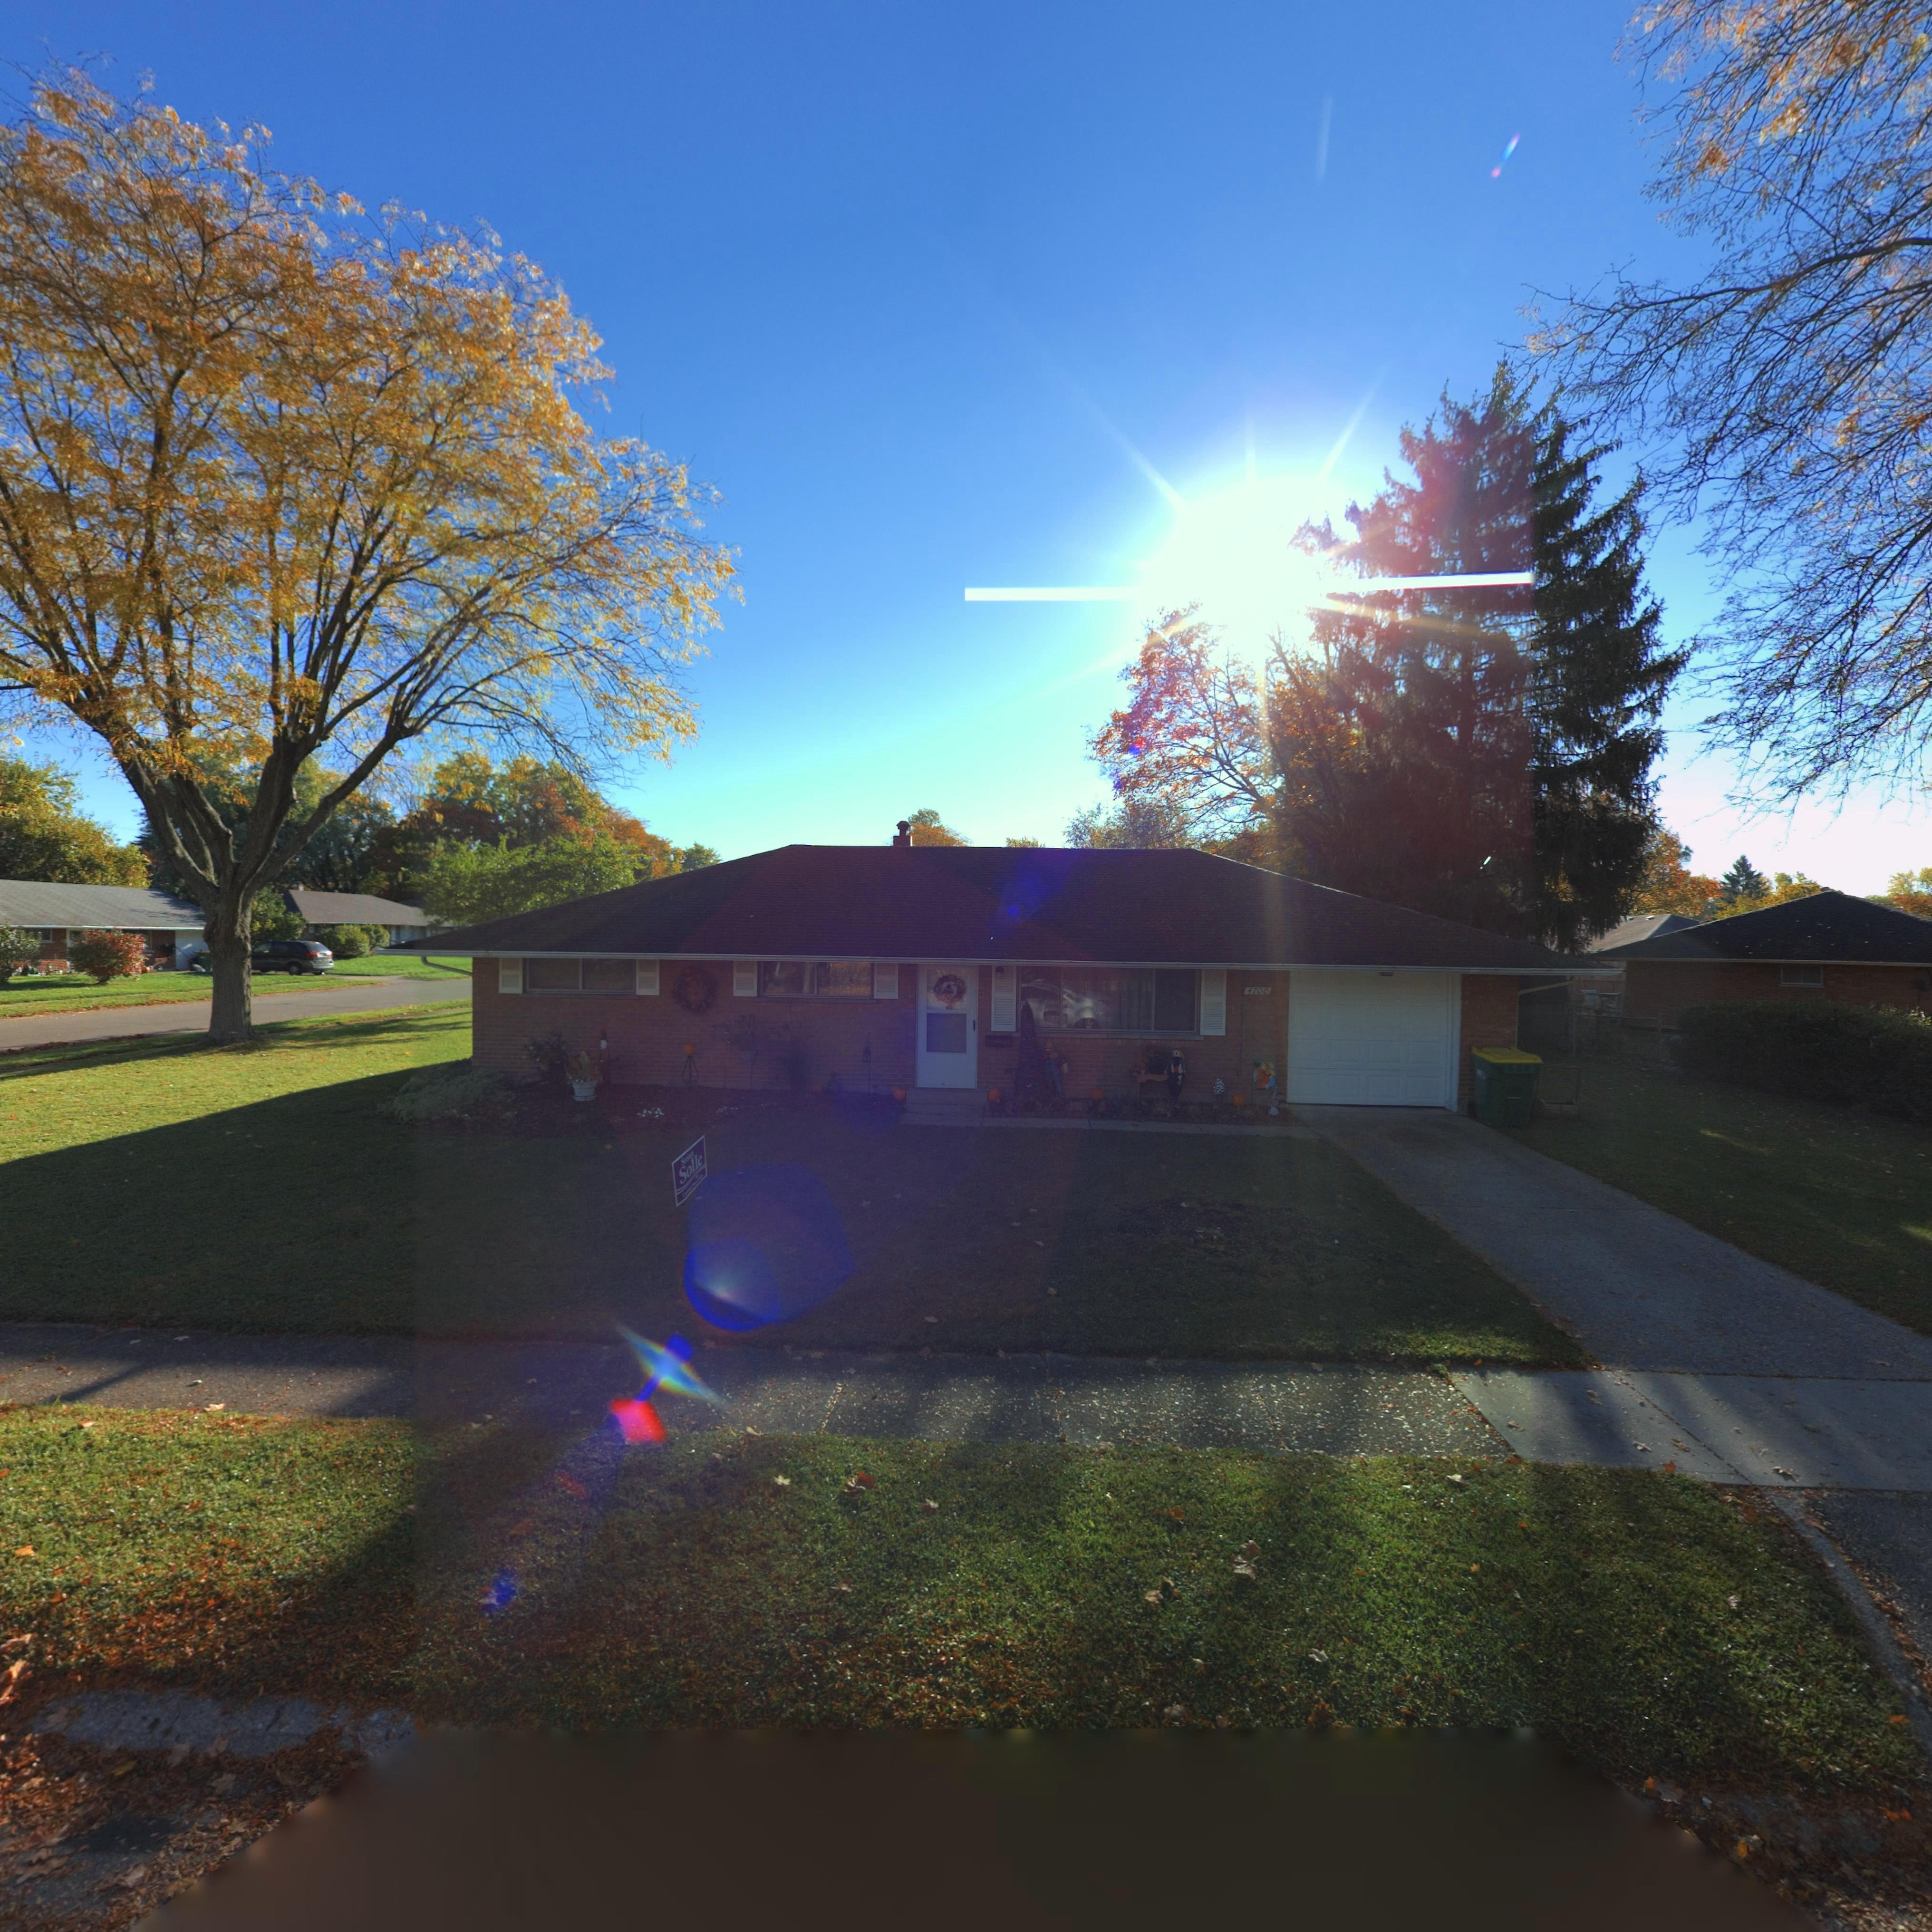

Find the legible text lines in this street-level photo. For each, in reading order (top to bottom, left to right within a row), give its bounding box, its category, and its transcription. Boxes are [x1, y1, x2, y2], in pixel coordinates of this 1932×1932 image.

[1246, 986, 1270, 995] StreetNumber: 4700